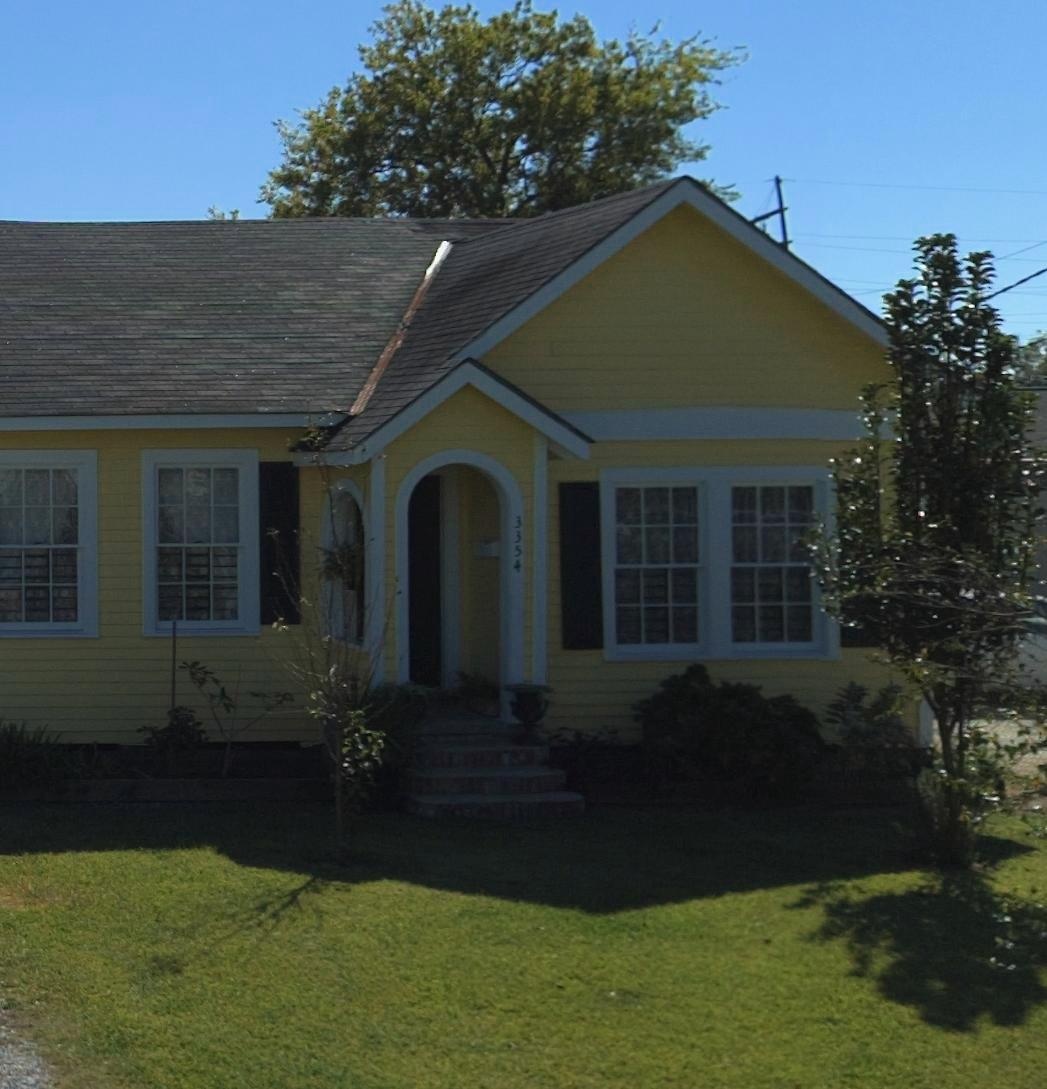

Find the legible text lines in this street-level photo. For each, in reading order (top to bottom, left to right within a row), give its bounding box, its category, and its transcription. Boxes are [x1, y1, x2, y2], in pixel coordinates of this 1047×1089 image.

[511, 513, 524, 574] StreetNumber: 3354